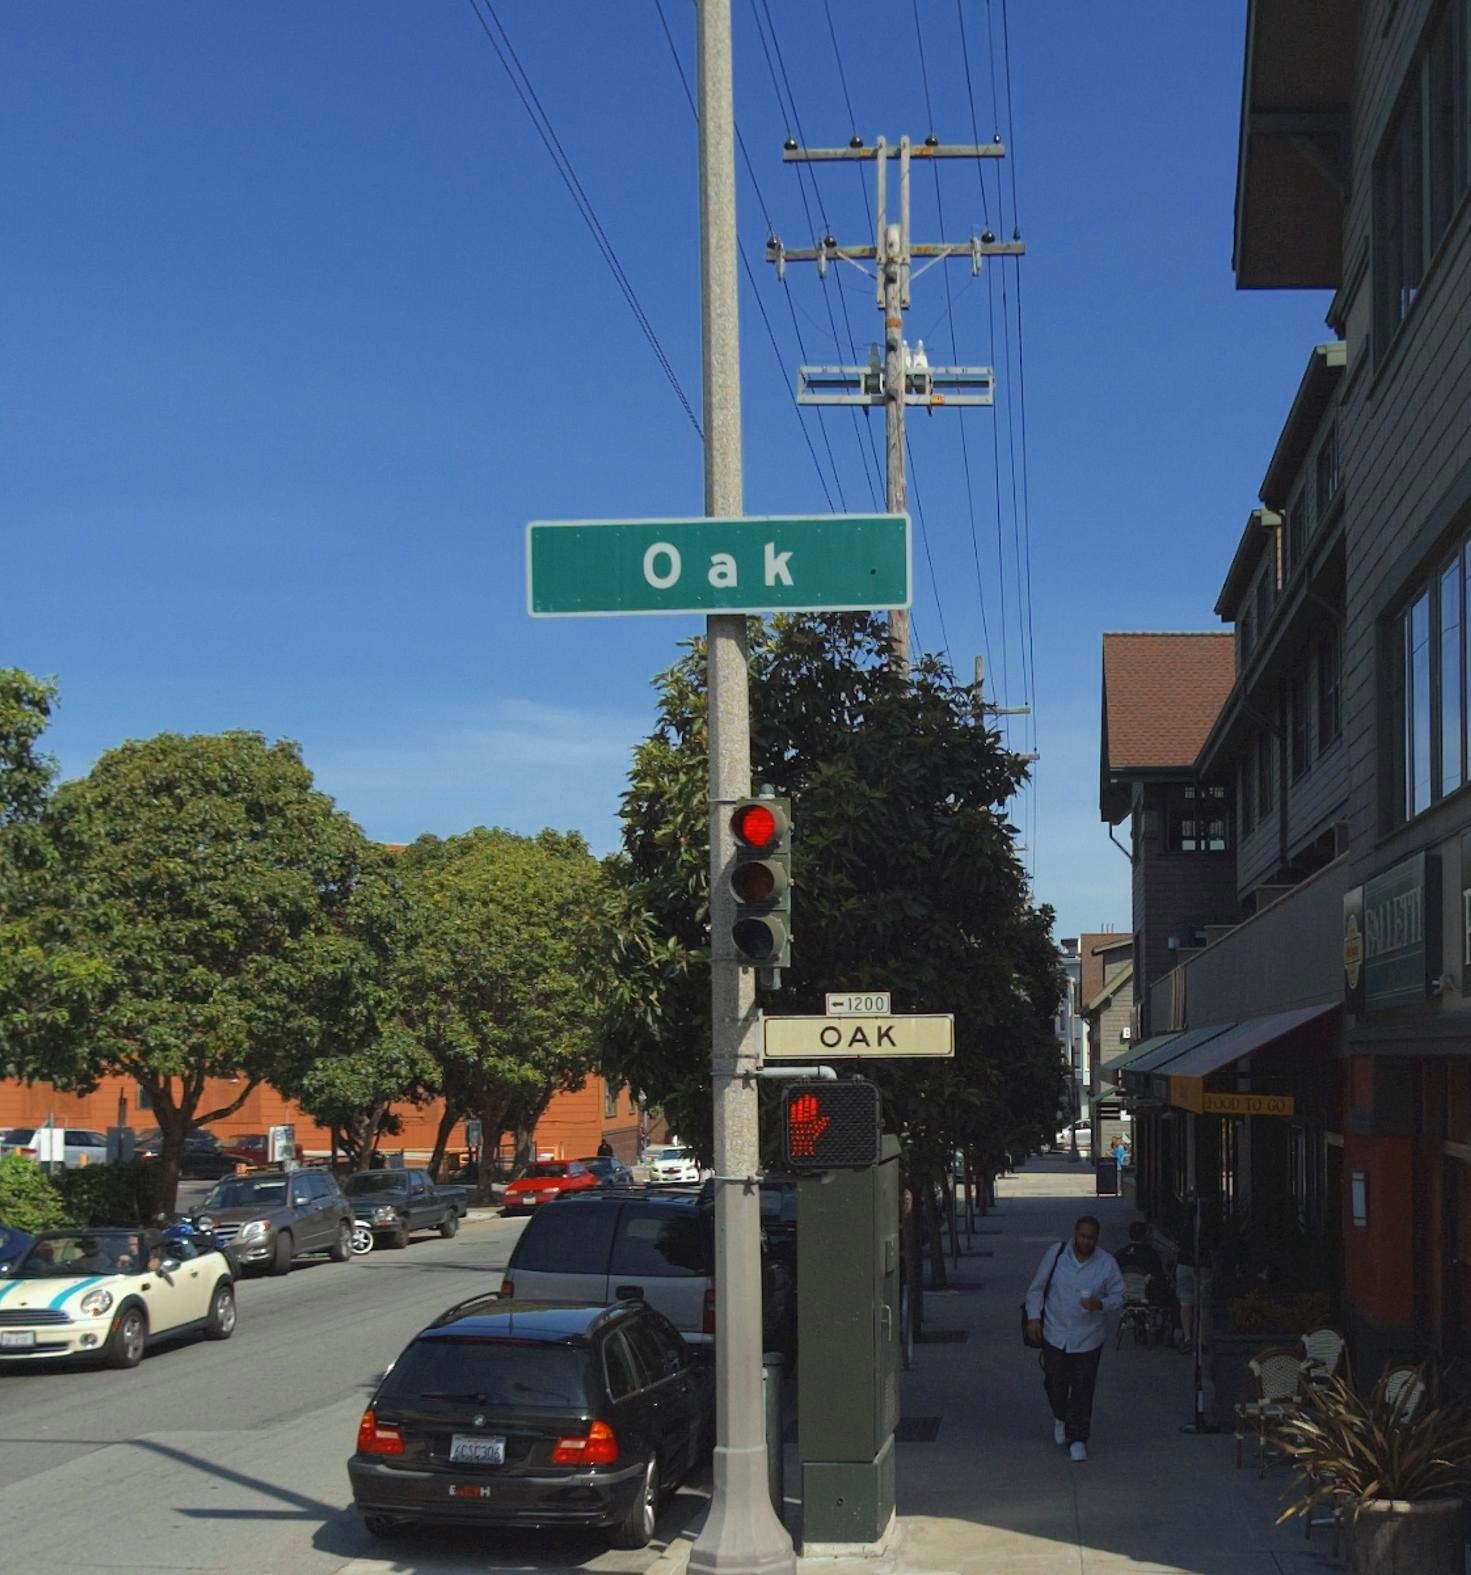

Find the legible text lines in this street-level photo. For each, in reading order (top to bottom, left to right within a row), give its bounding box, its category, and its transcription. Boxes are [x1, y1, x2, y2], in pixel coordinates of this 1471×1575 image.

[642, 539, 797, 590] StreetName: Oak
[1365, 885, 1422, 958] BusinessName: FALLETTI
[829, 995, 884, 1012] StreetNumberRange: <-1200
[819, 1024, 900, 1048] StreetName: OAK
[1207, 1096, 1285, 1112] None: FOOD TO GO
[453, 1442, 500, 1461] None: 6CSC306